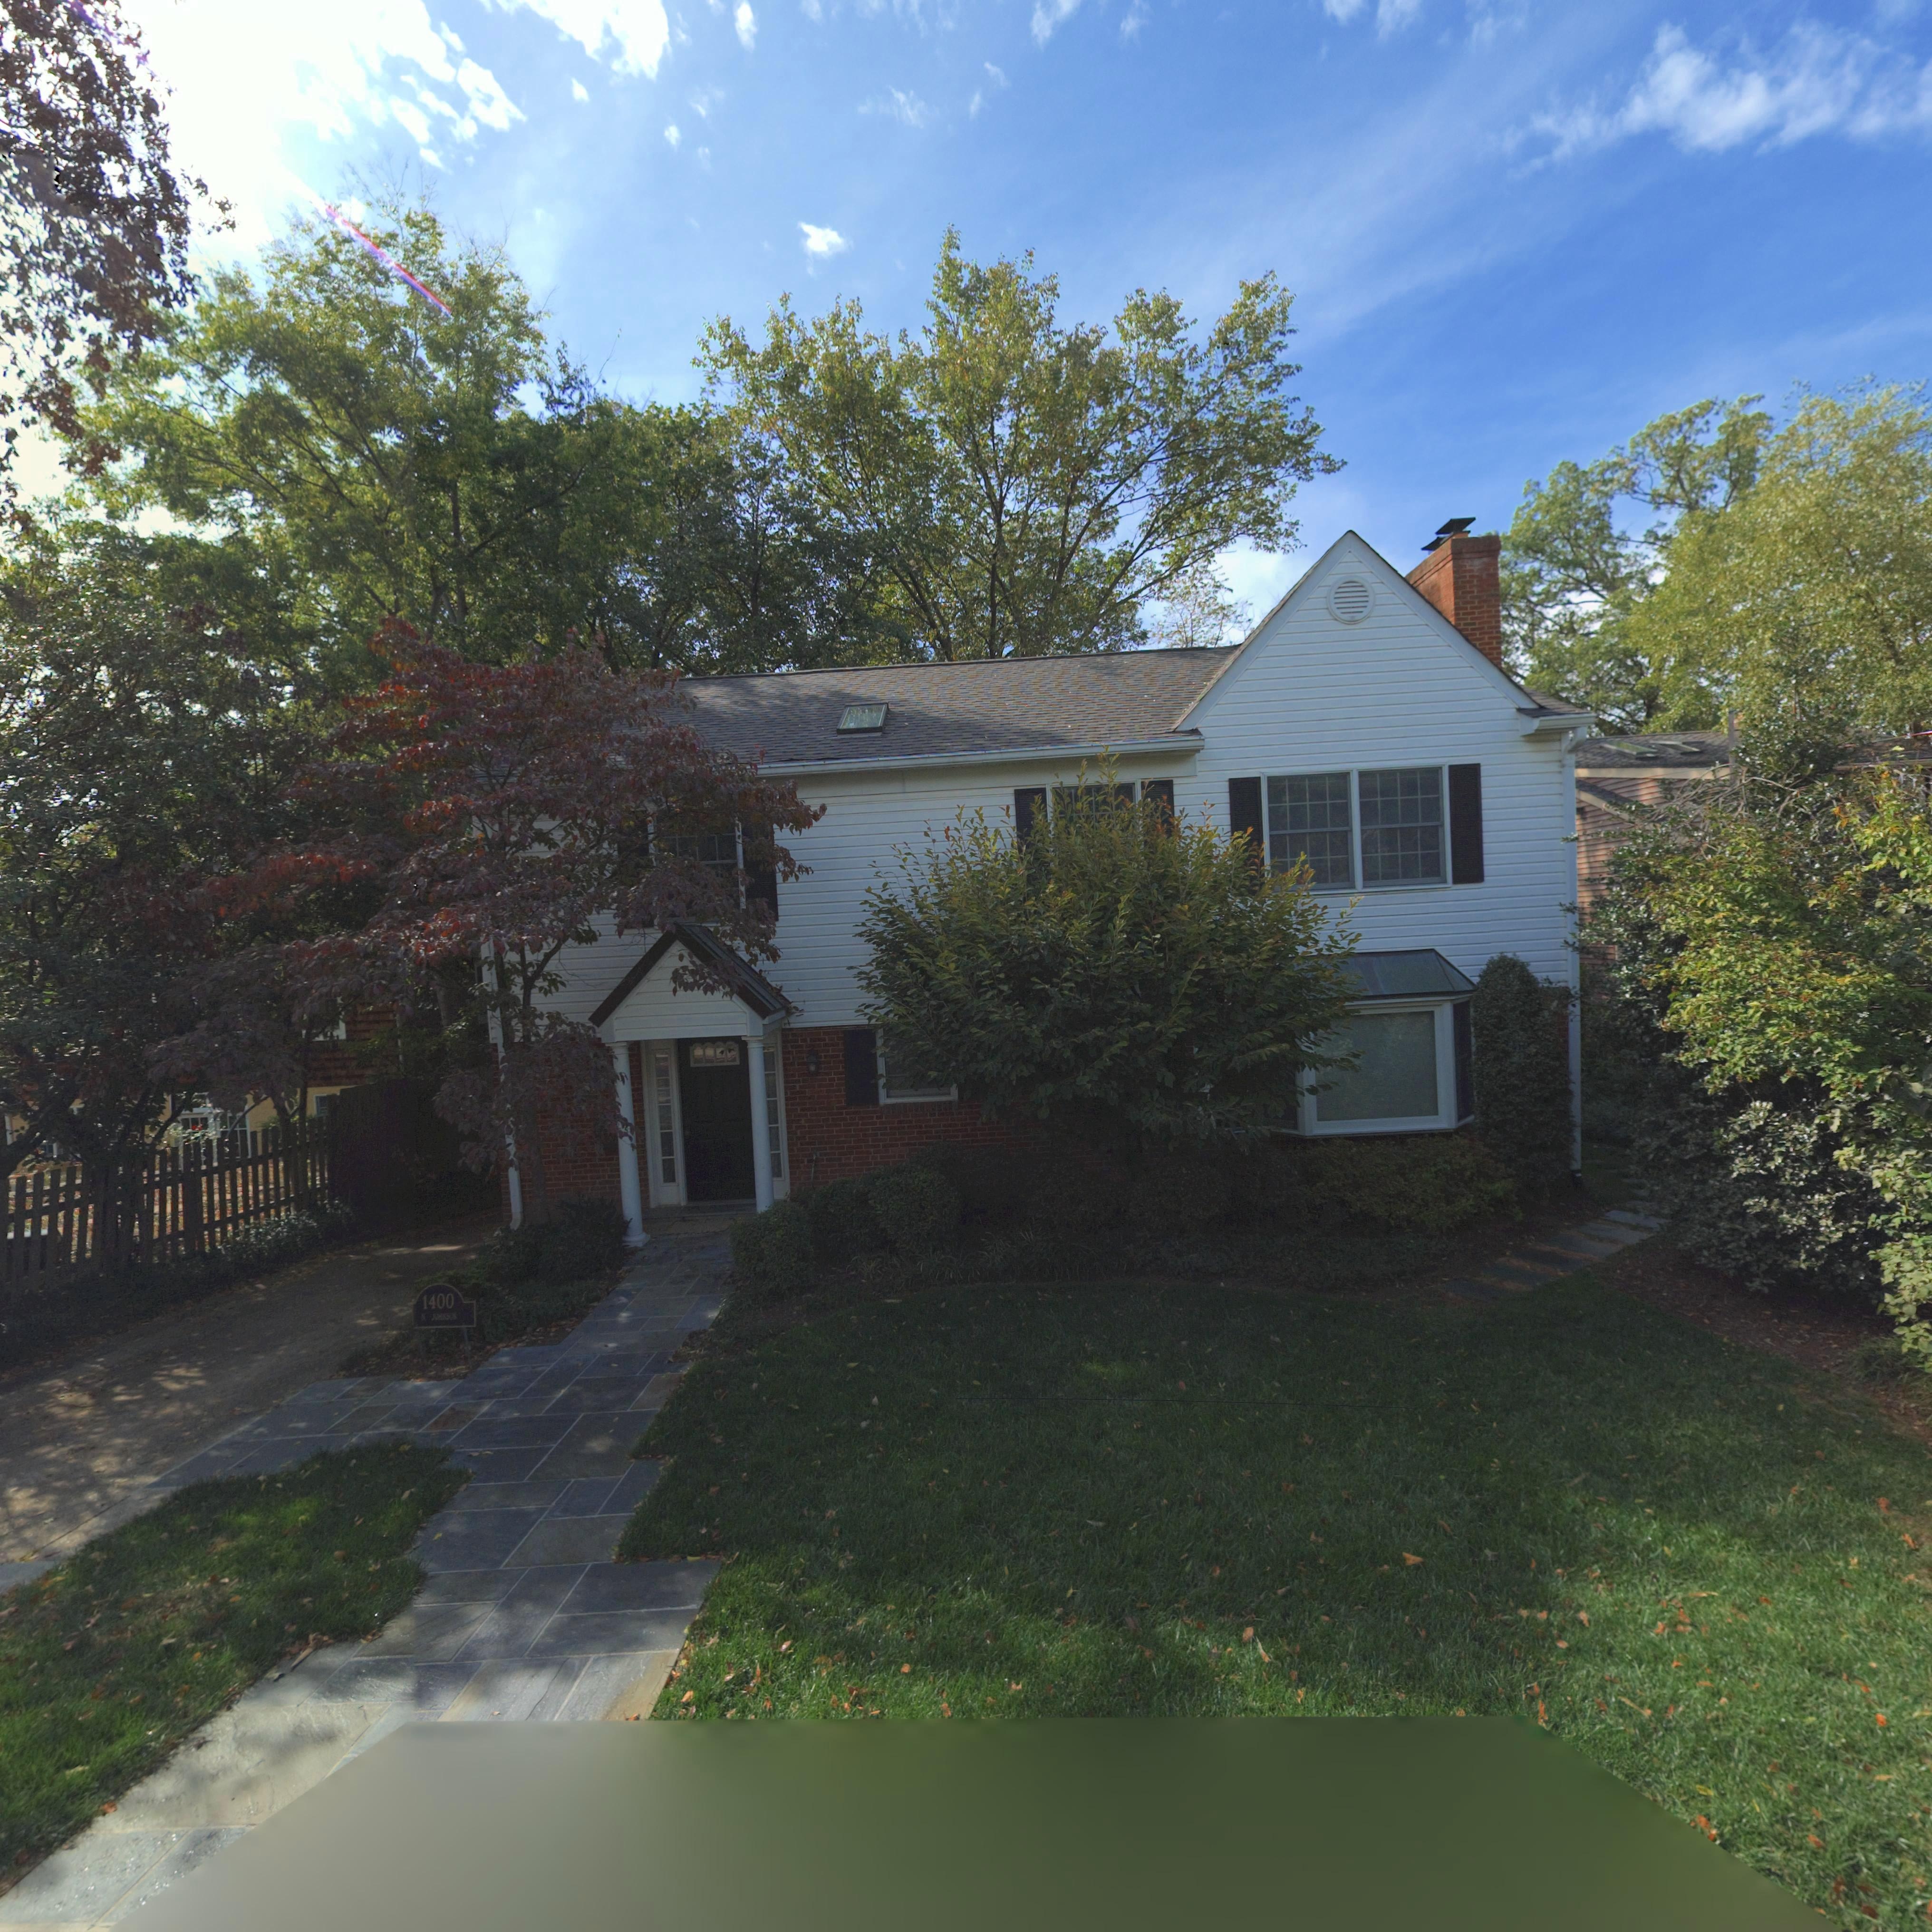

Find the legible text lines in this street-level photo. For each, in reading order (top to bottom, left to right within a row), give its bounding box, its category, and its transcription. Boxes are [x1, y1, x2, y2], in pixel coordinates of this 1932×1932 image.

[422, 1292, 455, 1311] StreetNumber: 1400